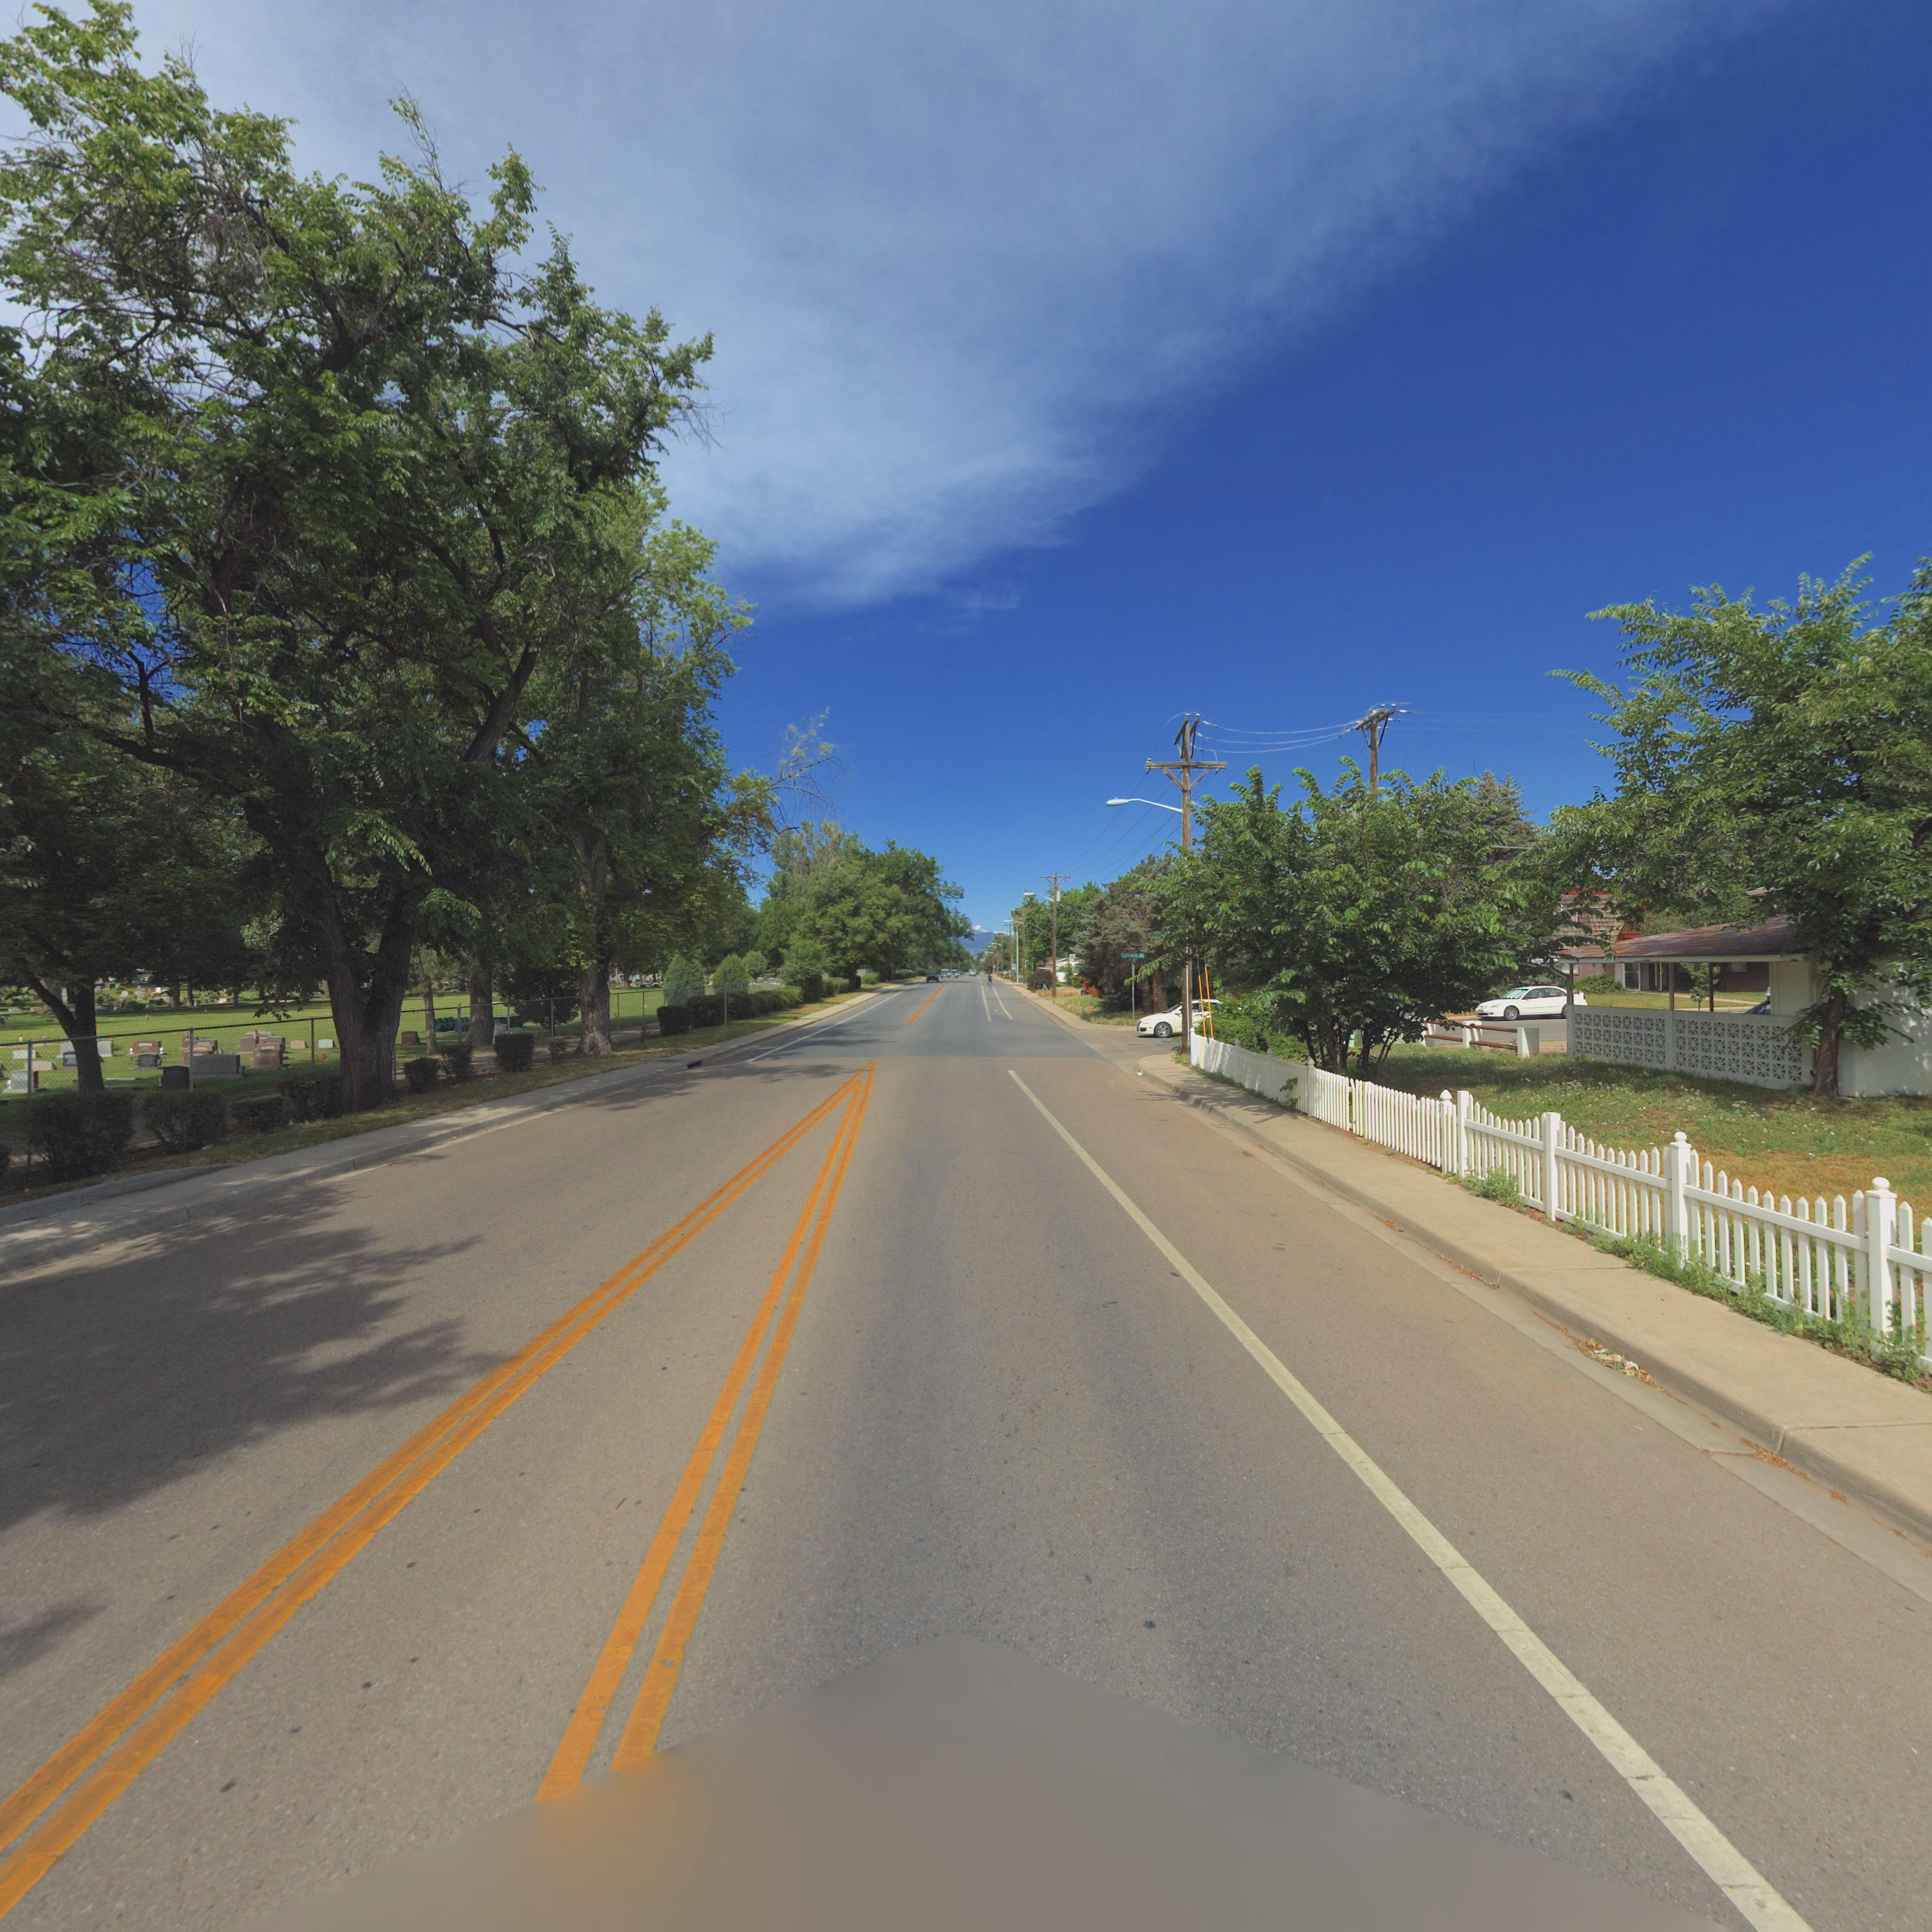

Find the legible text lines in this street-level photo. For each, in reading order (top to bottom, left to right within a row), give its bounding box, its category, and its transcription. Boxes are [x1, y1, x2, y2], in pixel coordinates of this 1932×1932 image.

[1121, 953, 1144, 957] StreetName: C****** S*